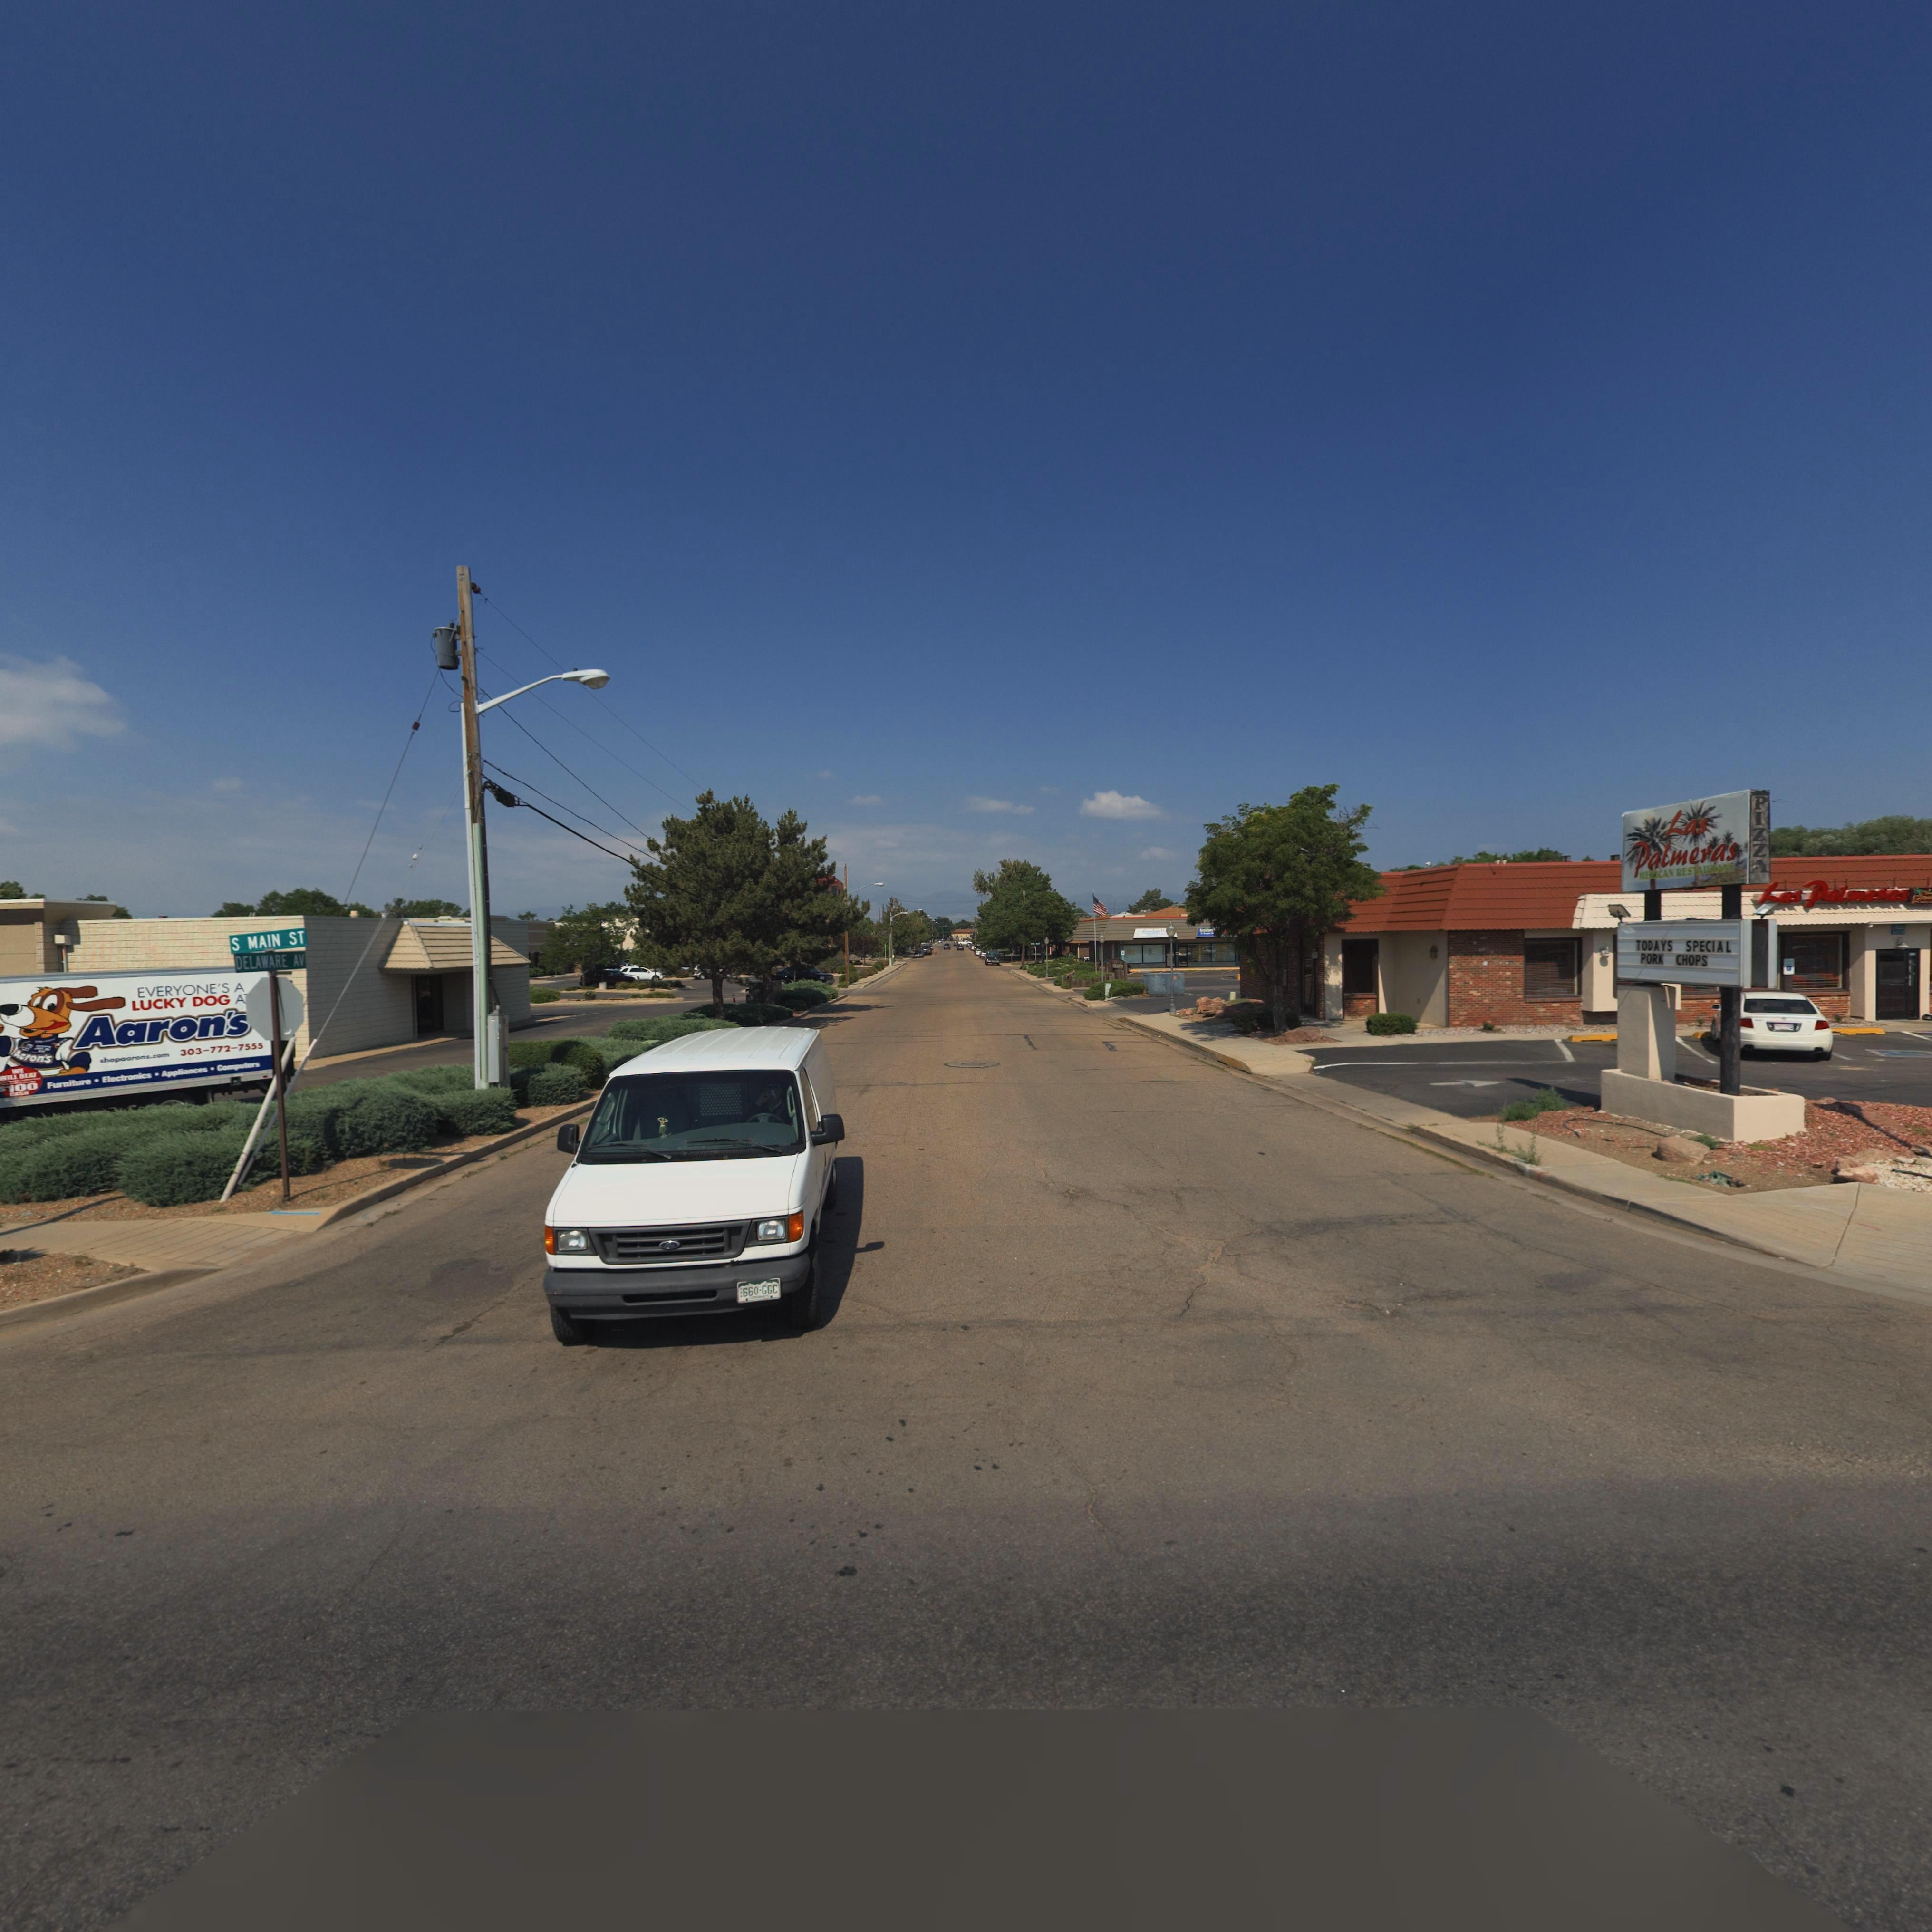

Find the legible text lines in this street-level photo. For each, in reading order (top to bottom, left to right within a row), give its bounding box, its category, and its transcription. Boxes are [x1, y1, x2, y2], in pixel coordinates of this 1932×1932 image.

[1664, 809, 1708, 836] BusinessName: Las
[1632, 840, 1738, 878] BusinessName: Palmeras
[1639, 862, 1735, 880] BusinessName: MEXICAN RESTAURANT
[1757, 879, 1910, 908] BusinessName: Las Palmeras
[1913, 895, 1929, 902] BusinessName: Res
[1921, 891, 1930, 897] BusinessName: Me
[1199, 928, 1214, 932] BusinessName: Acciden
[231, 930, 304, 951] StreetName: S MAIN ST
[234, 953, 304, 970] StreetName: DELEWARE AV